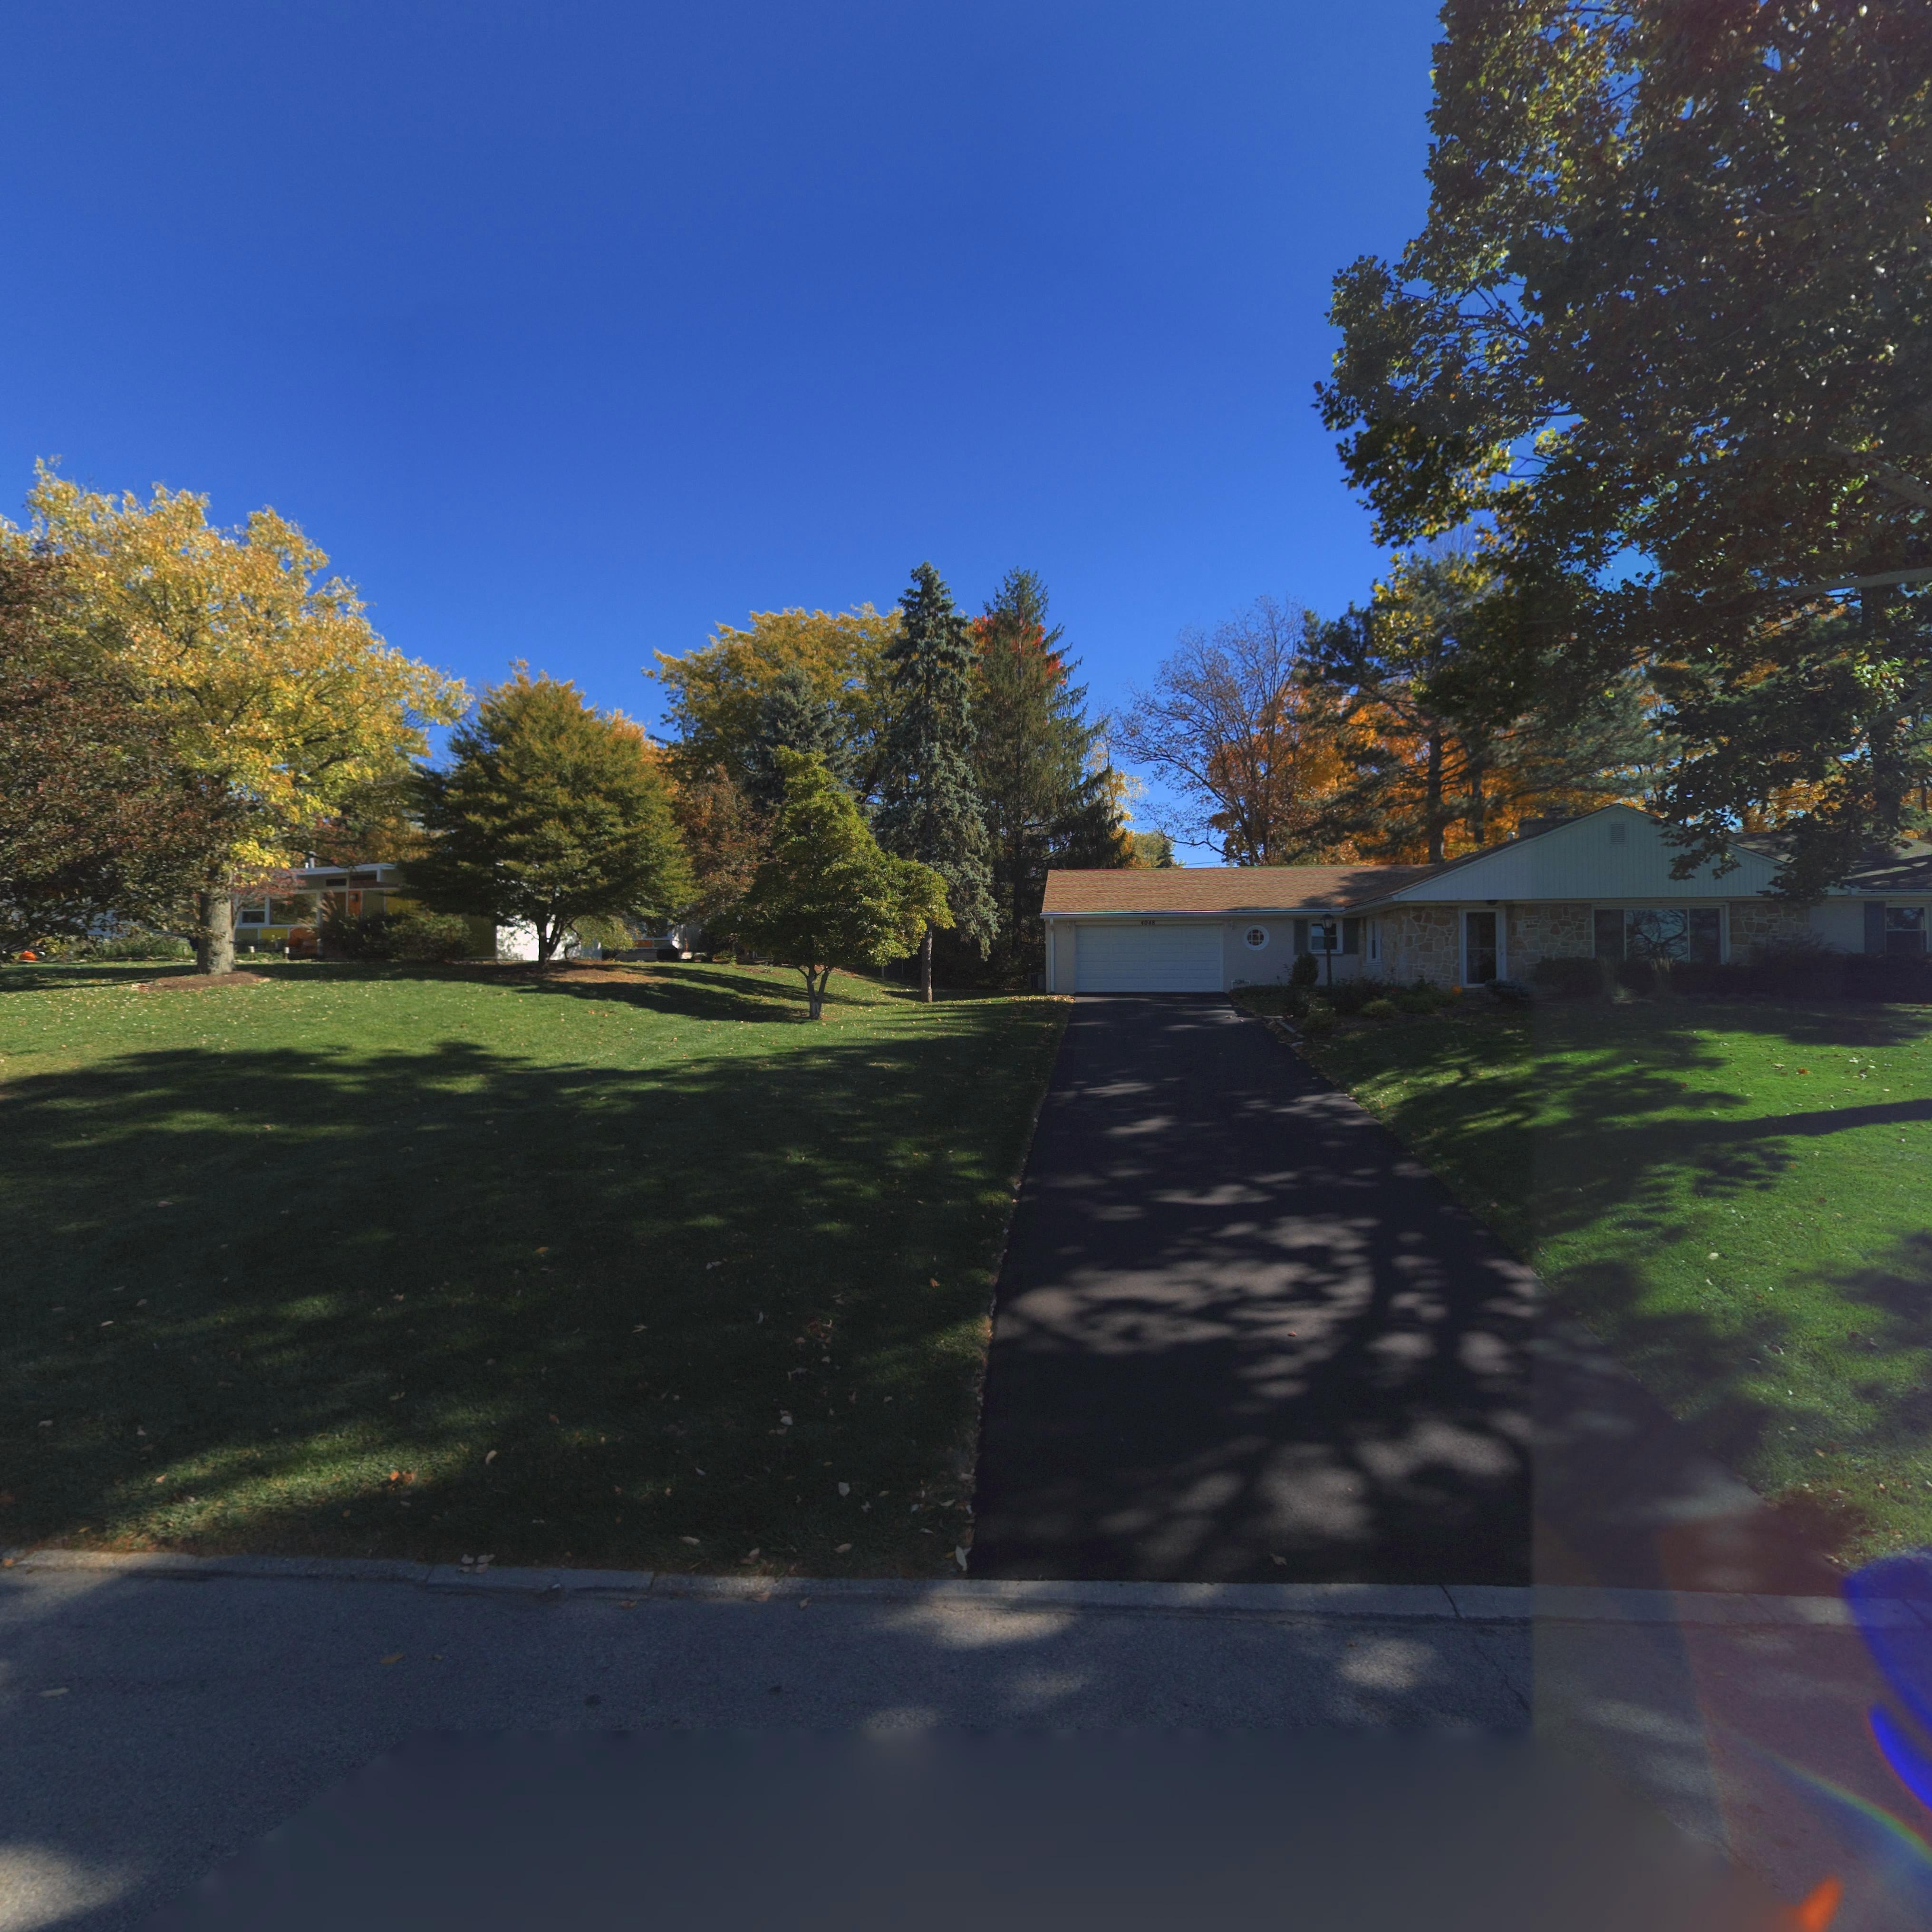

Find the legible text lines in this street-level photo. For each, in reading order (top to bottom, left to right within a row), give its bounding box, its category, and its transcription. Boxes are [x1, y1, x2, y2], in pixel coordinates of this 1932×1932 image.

[1140, 919, 1156, 927] StreetNumber: 4048